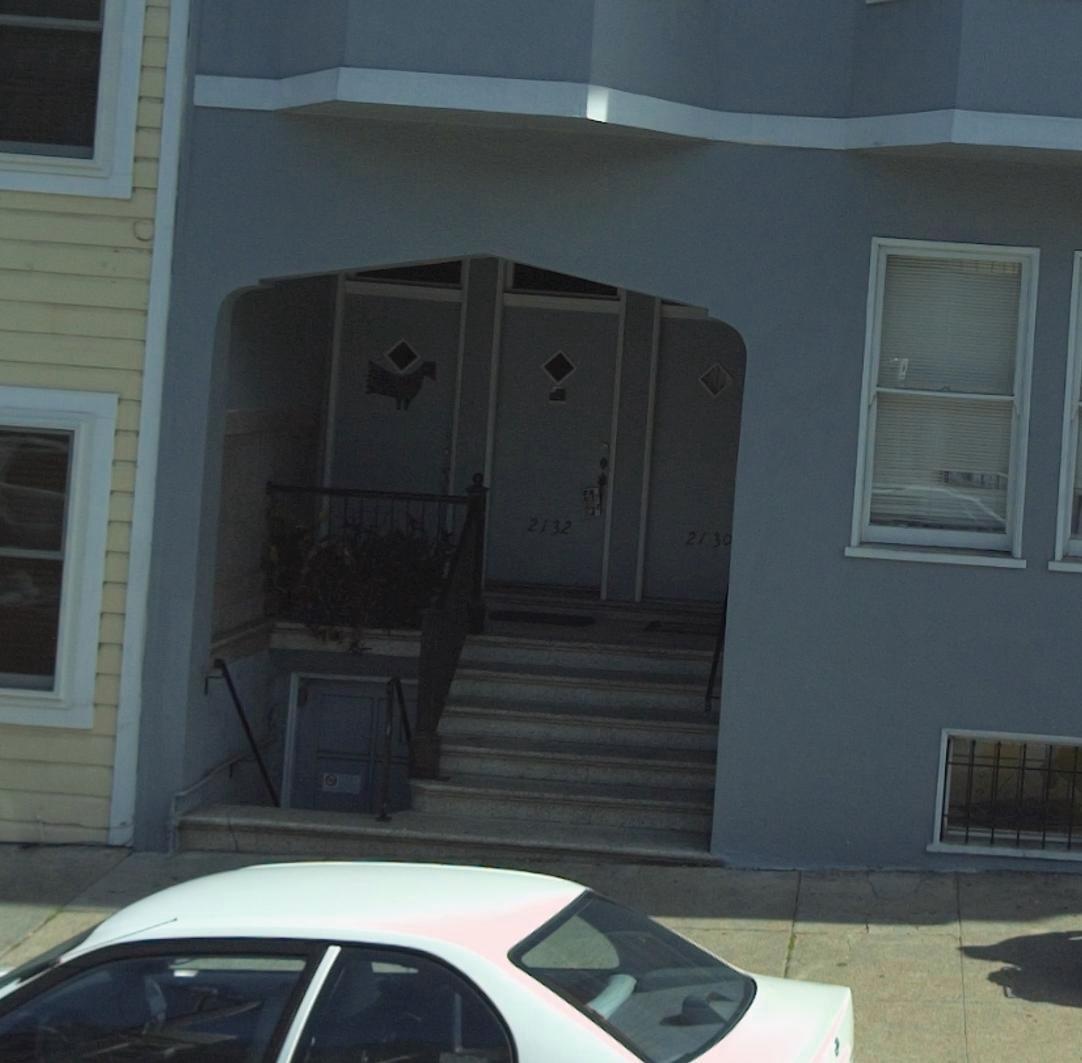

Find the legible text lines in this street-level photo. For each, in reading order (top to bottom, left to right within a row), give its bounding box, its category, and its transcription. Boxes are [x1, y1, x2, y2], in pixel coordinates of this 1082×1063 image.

[525, 517, 573, 537] StreetNumber: 2132
[682, 529, 733, 550] StreetNumber: 2130